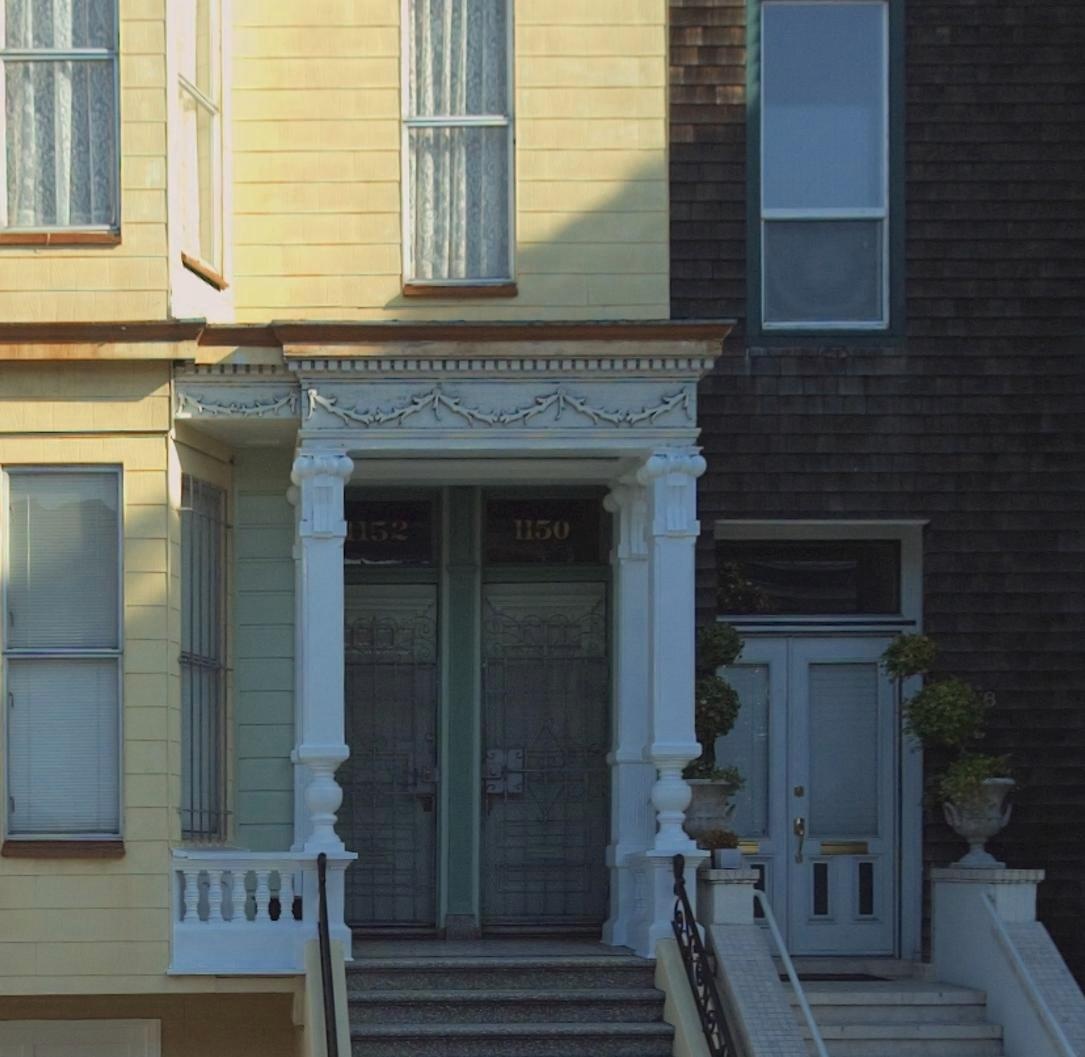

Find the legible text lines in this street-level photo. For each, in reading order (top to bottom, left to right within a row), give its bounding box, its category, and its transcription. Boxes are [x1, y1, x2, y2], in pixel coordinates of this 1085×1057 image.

[343, 516, 410, 544] StreetNumber: 1152
[513, 515, 572, 543] StreetNumber: 1150